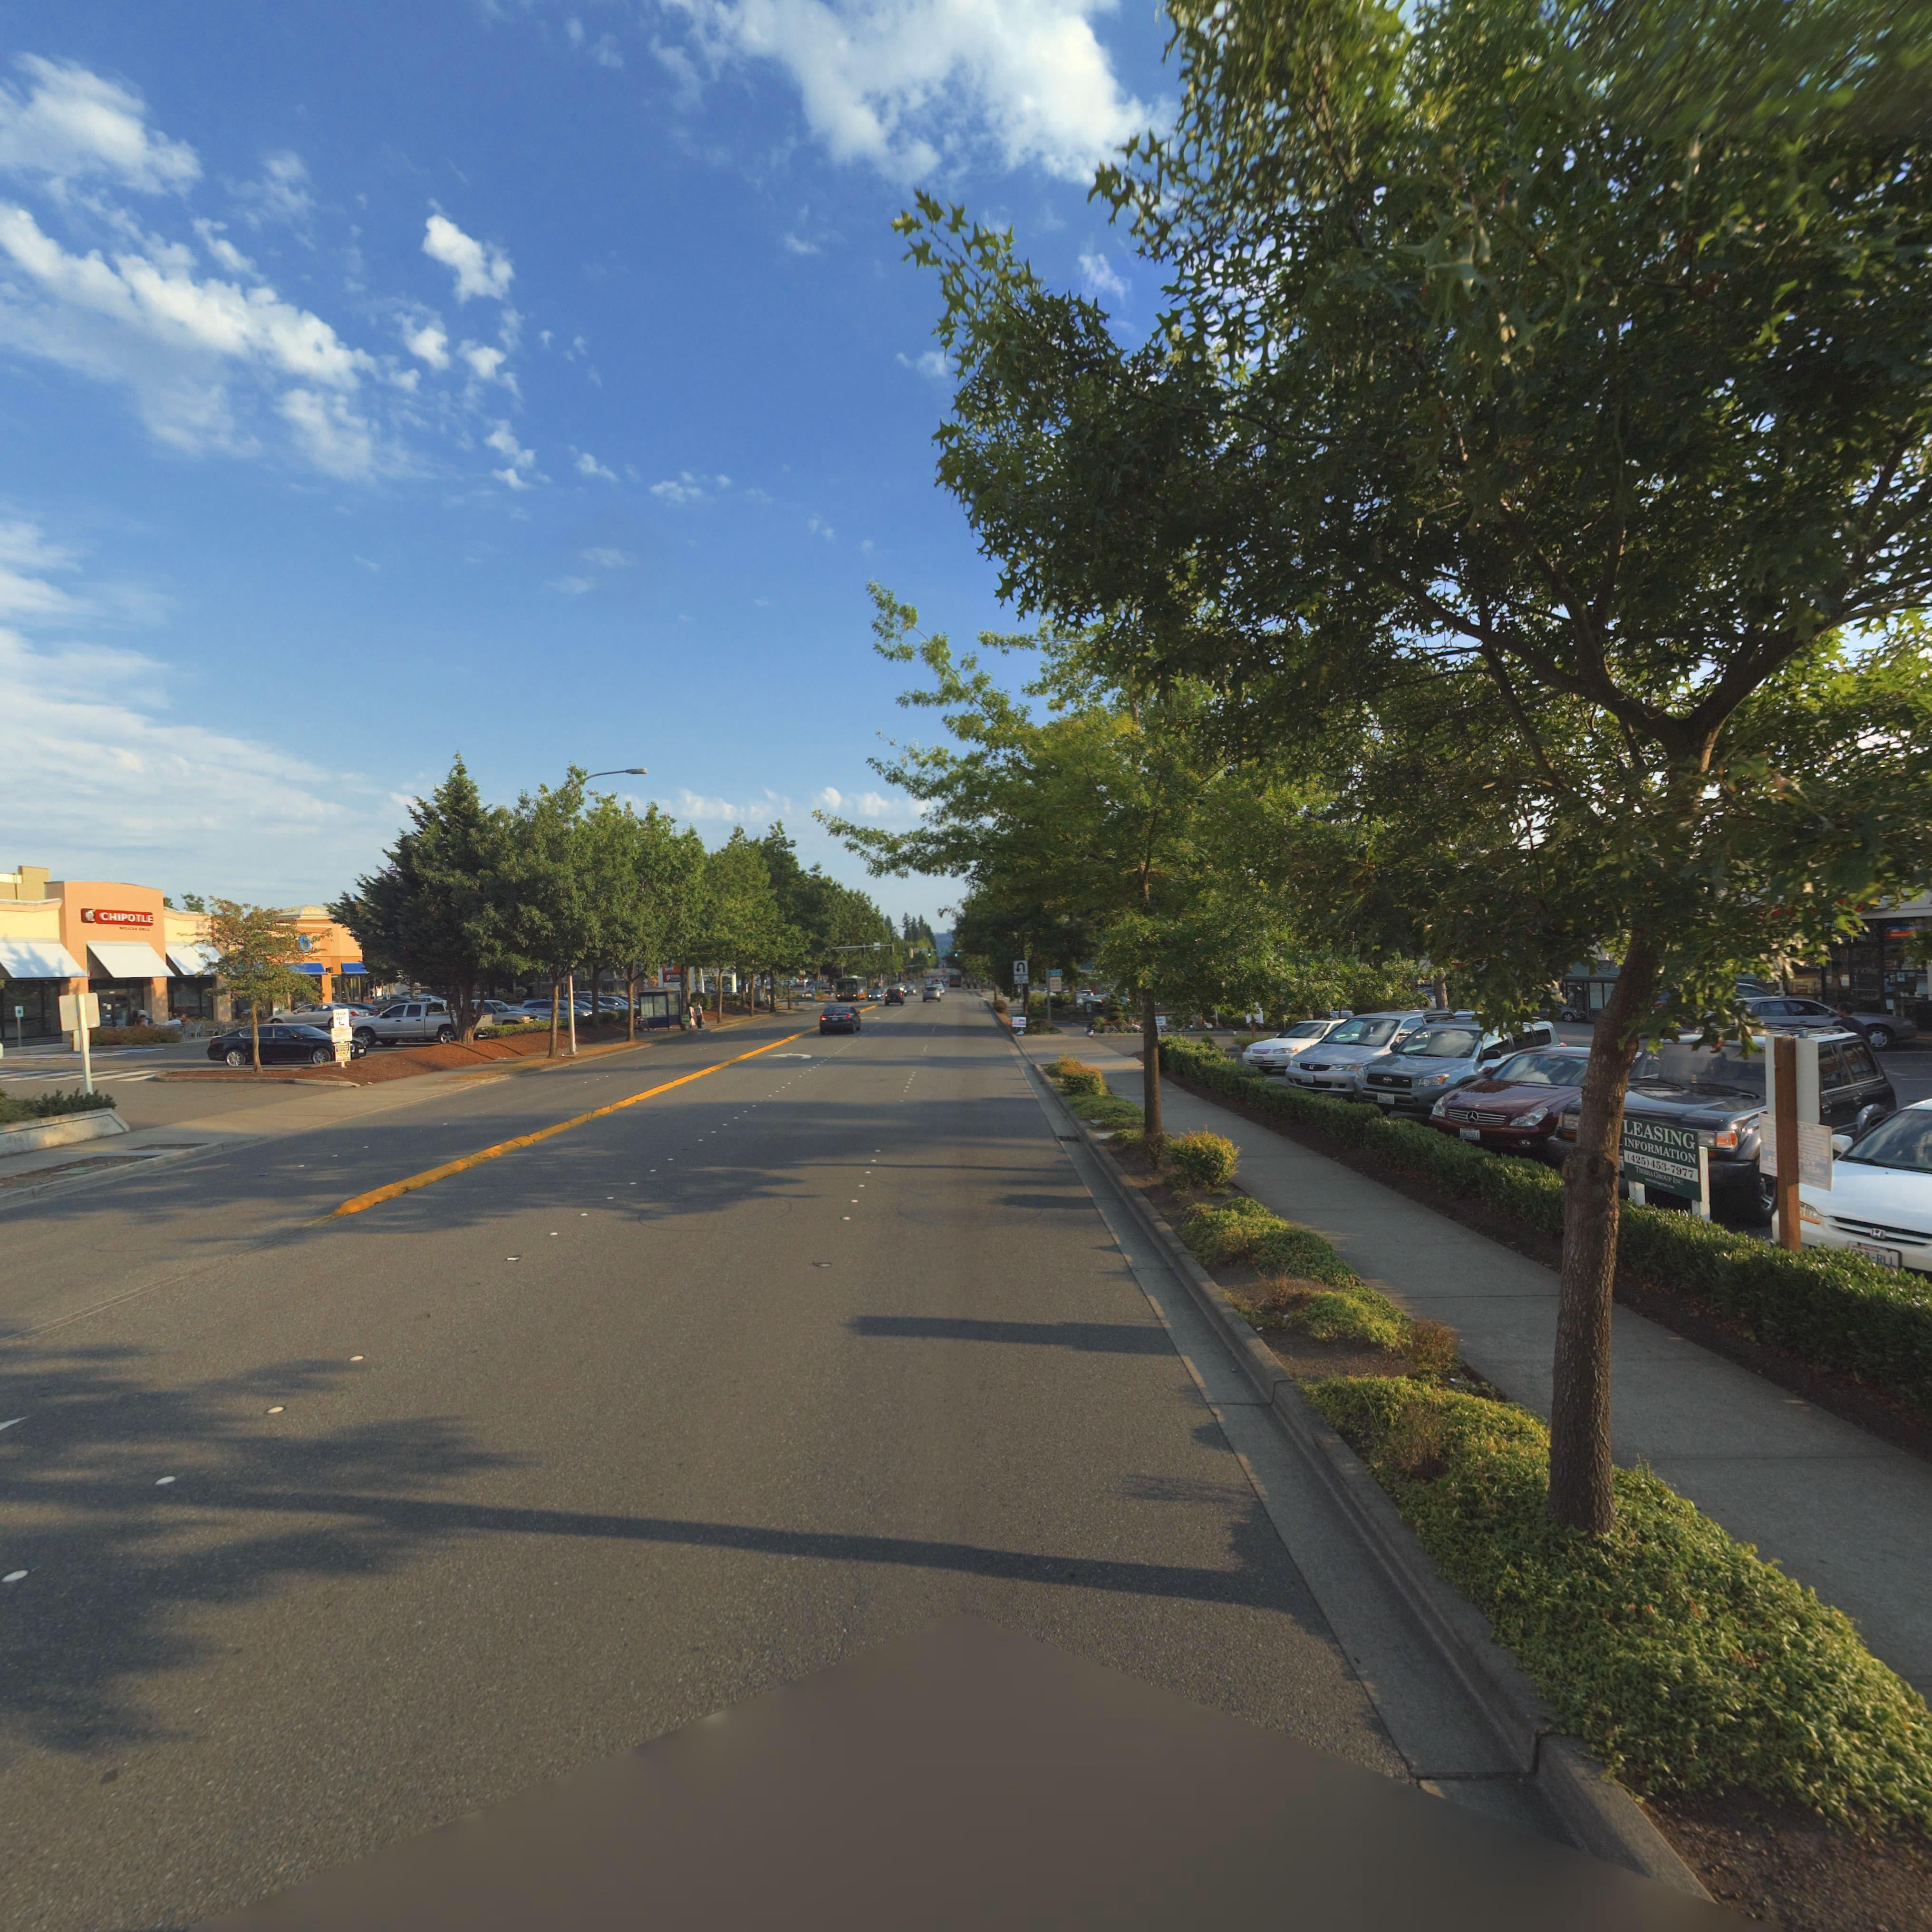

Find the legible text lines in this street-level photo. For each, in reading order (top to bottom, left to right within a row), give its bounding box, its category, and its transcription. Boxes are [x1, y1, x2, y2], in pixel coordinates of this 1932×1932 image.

[99, 912, 153, 922] BusinessName: CHIPOTLE